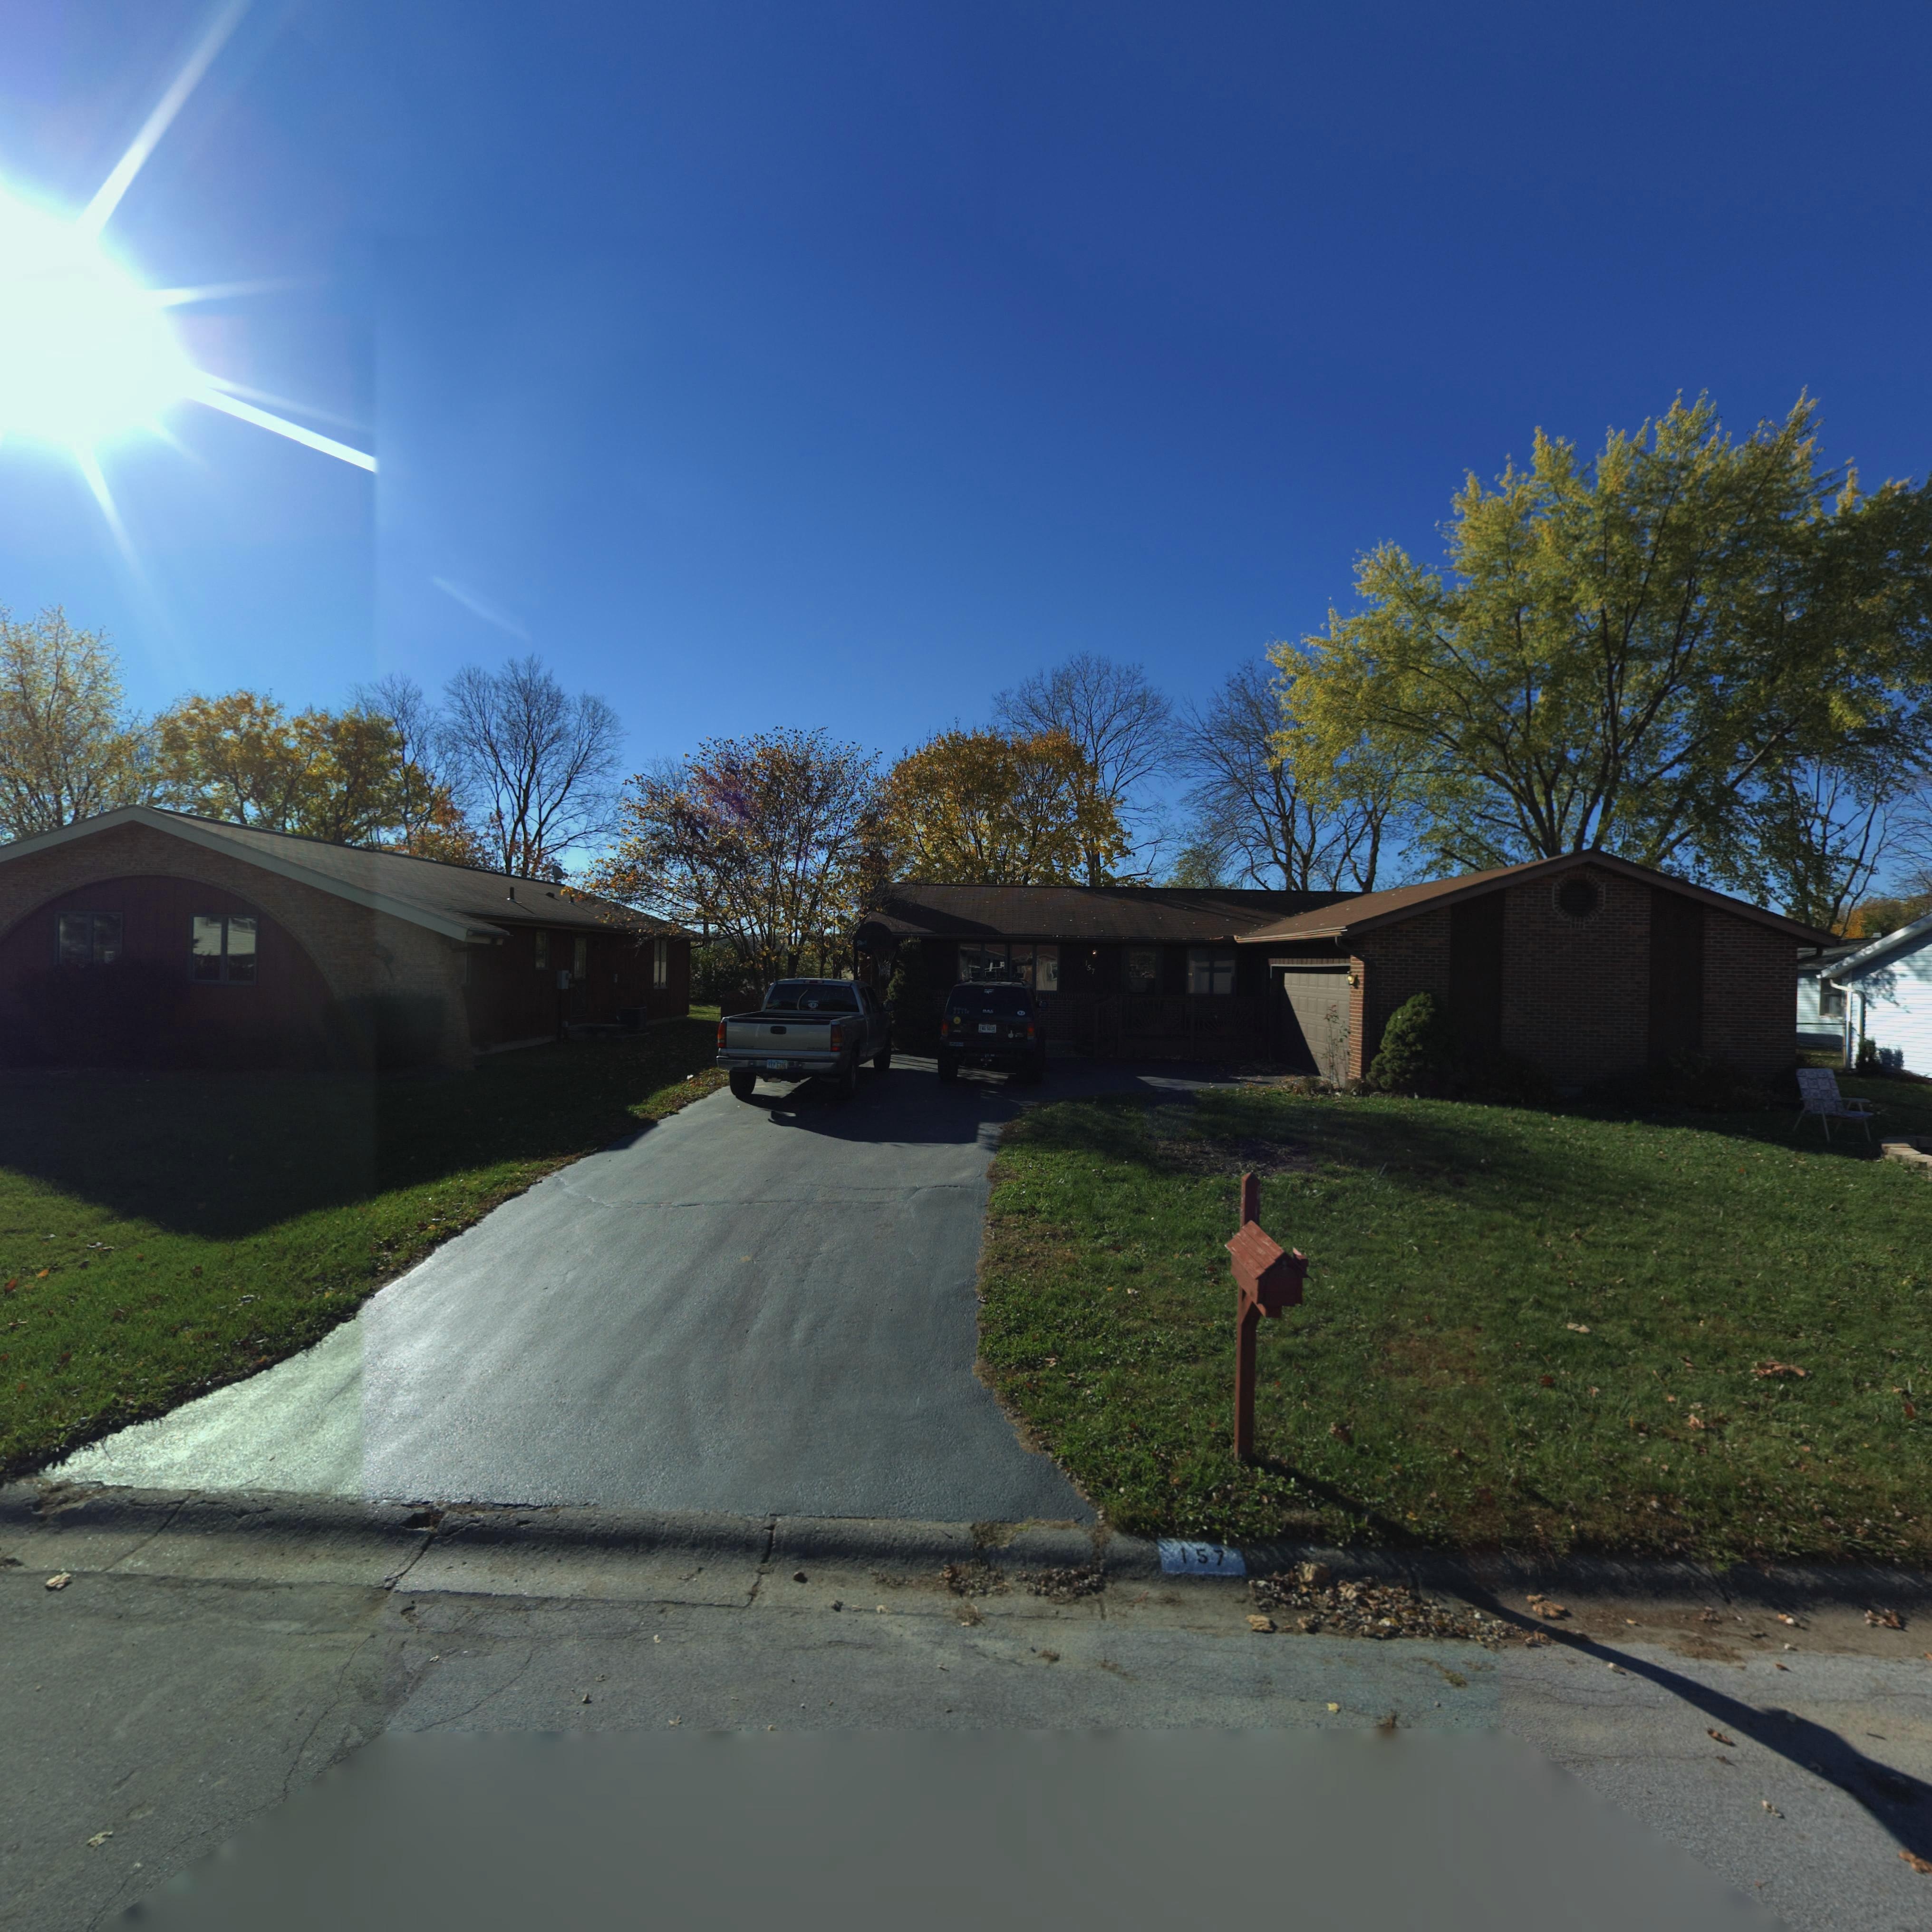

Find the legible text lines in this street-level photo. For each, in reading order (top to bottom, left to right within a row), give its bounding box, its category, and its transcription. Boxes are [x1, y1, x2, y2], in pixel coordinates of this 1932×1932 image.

[1084, 959, 1097, 976] StreetNumber: 157
[1176, 1545, 1227, 1568] StreetNumber: 157